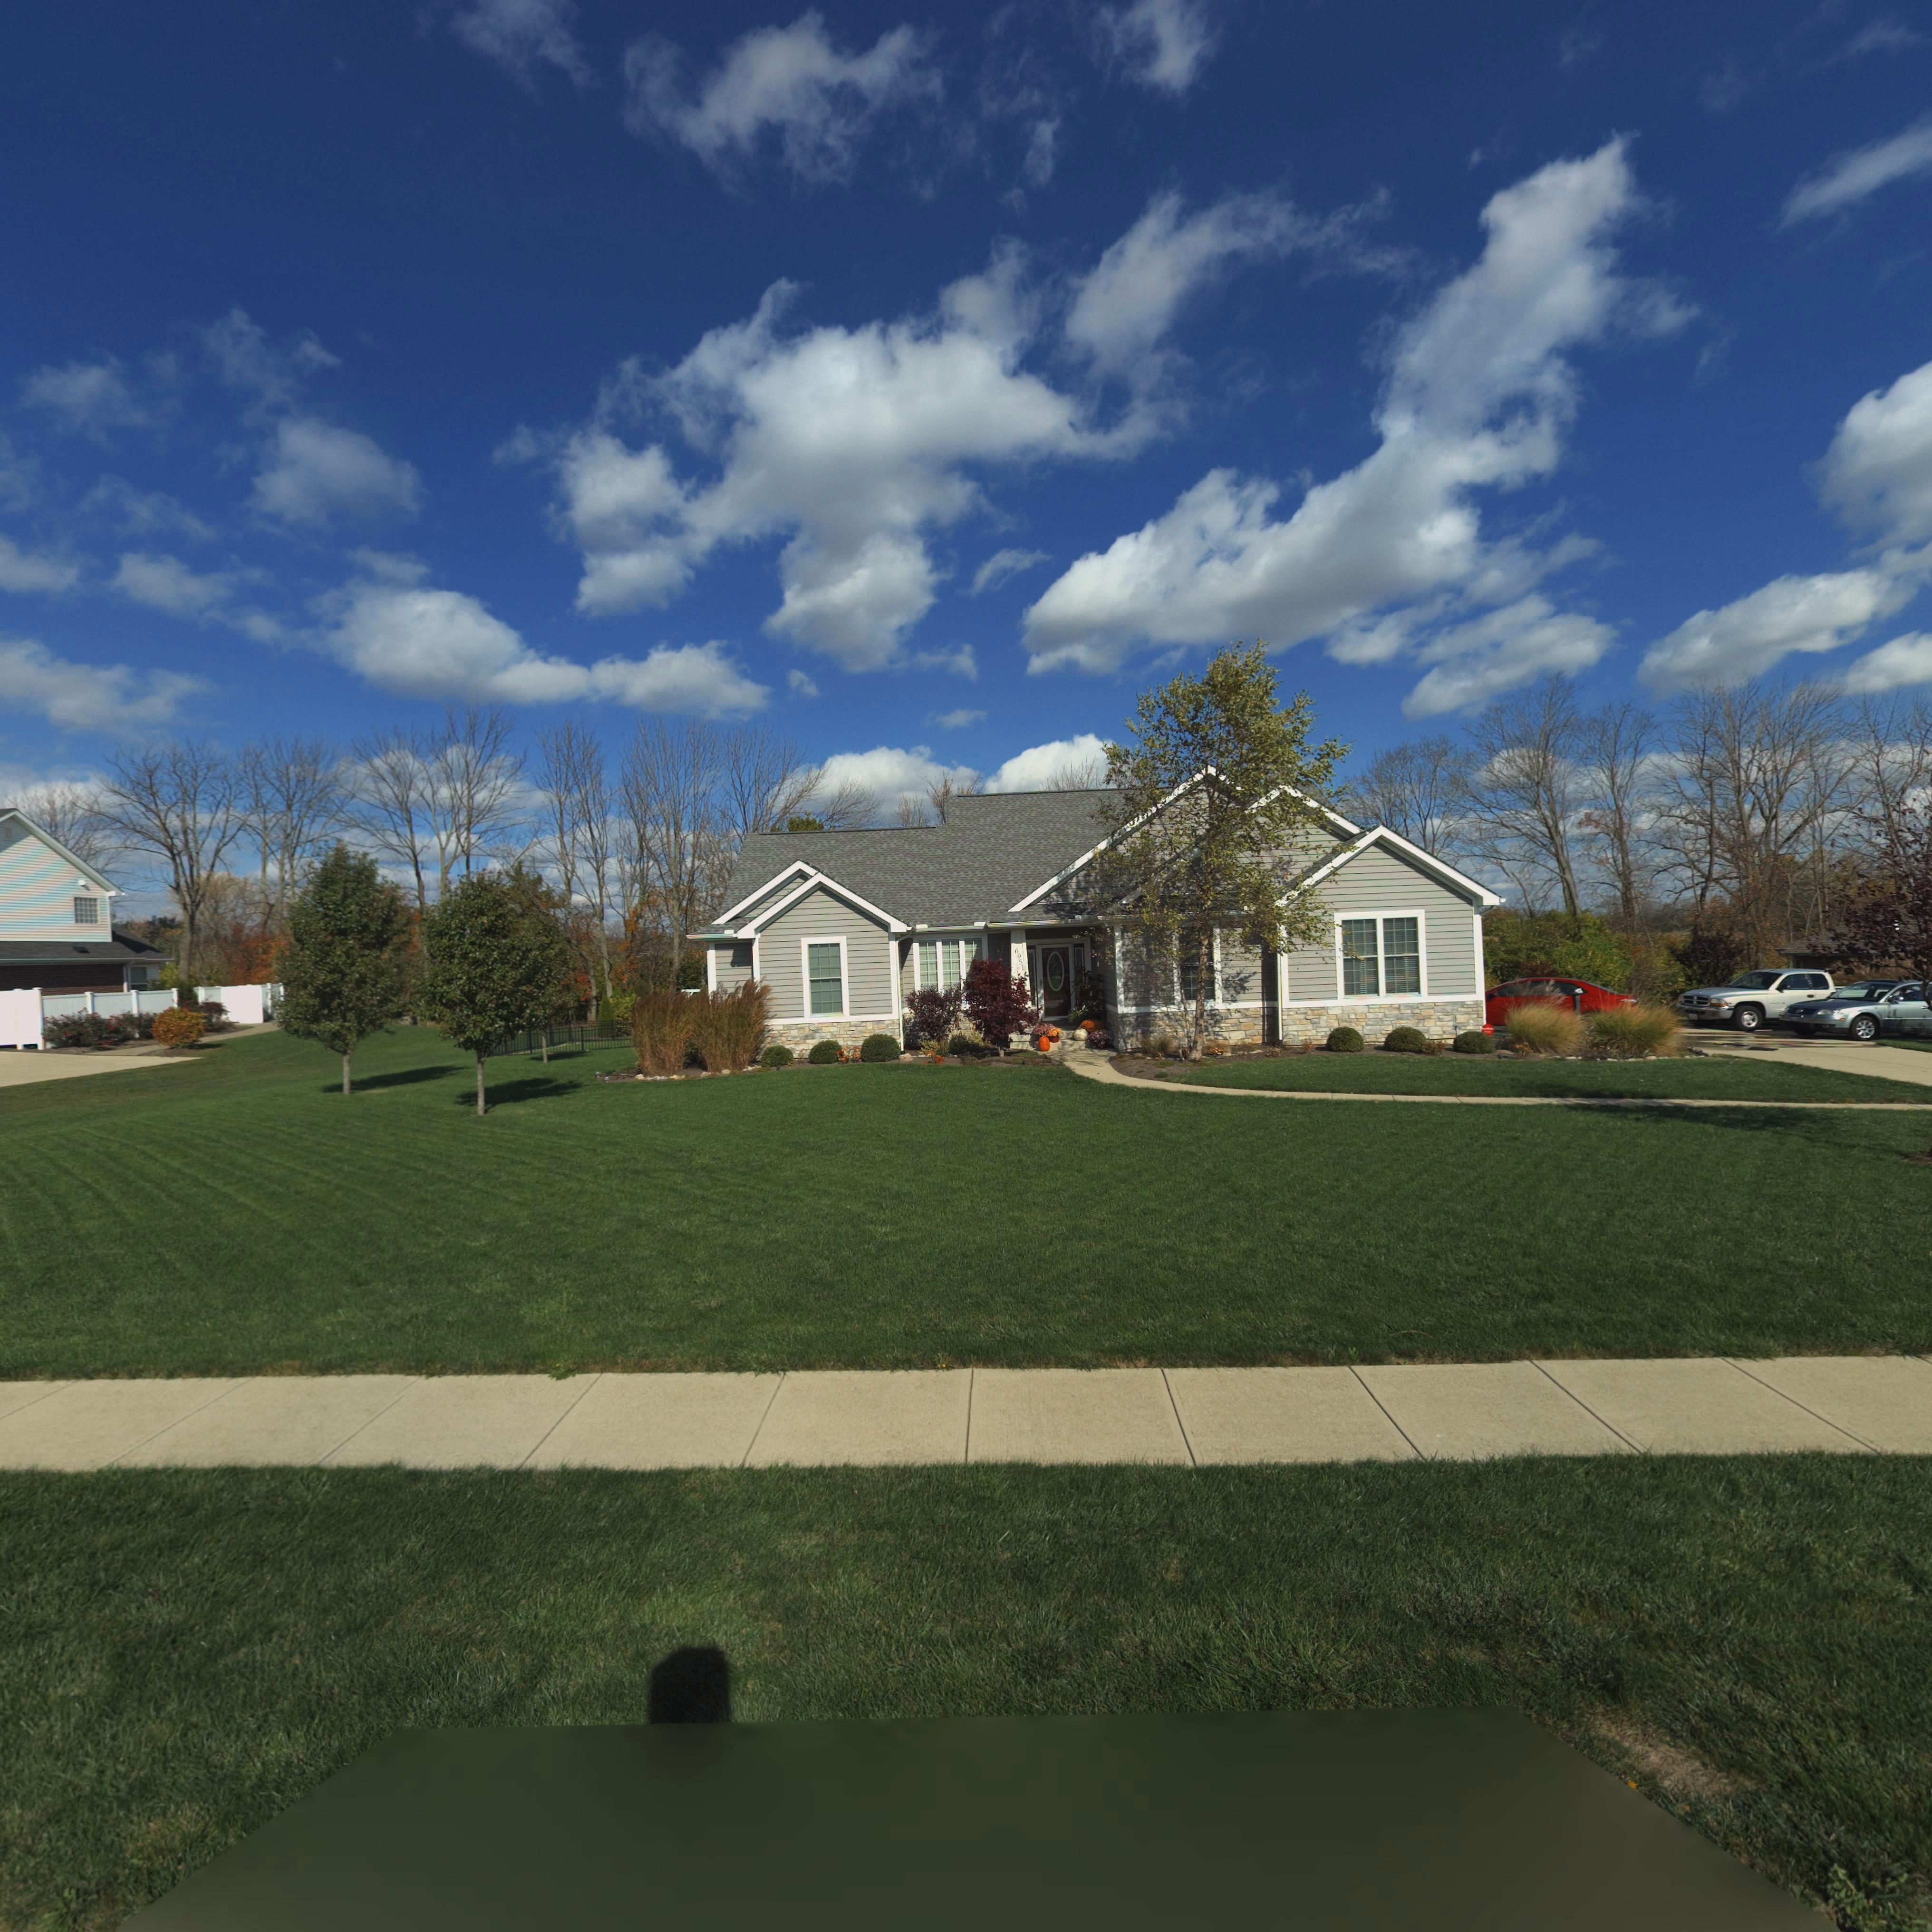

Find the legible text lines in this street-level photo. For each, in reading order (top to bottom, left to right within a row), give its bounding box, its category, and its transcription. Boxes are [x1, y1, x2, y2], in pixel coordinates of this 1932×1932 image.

[1014, 947, 1025, 971] StreetNumber: 6951